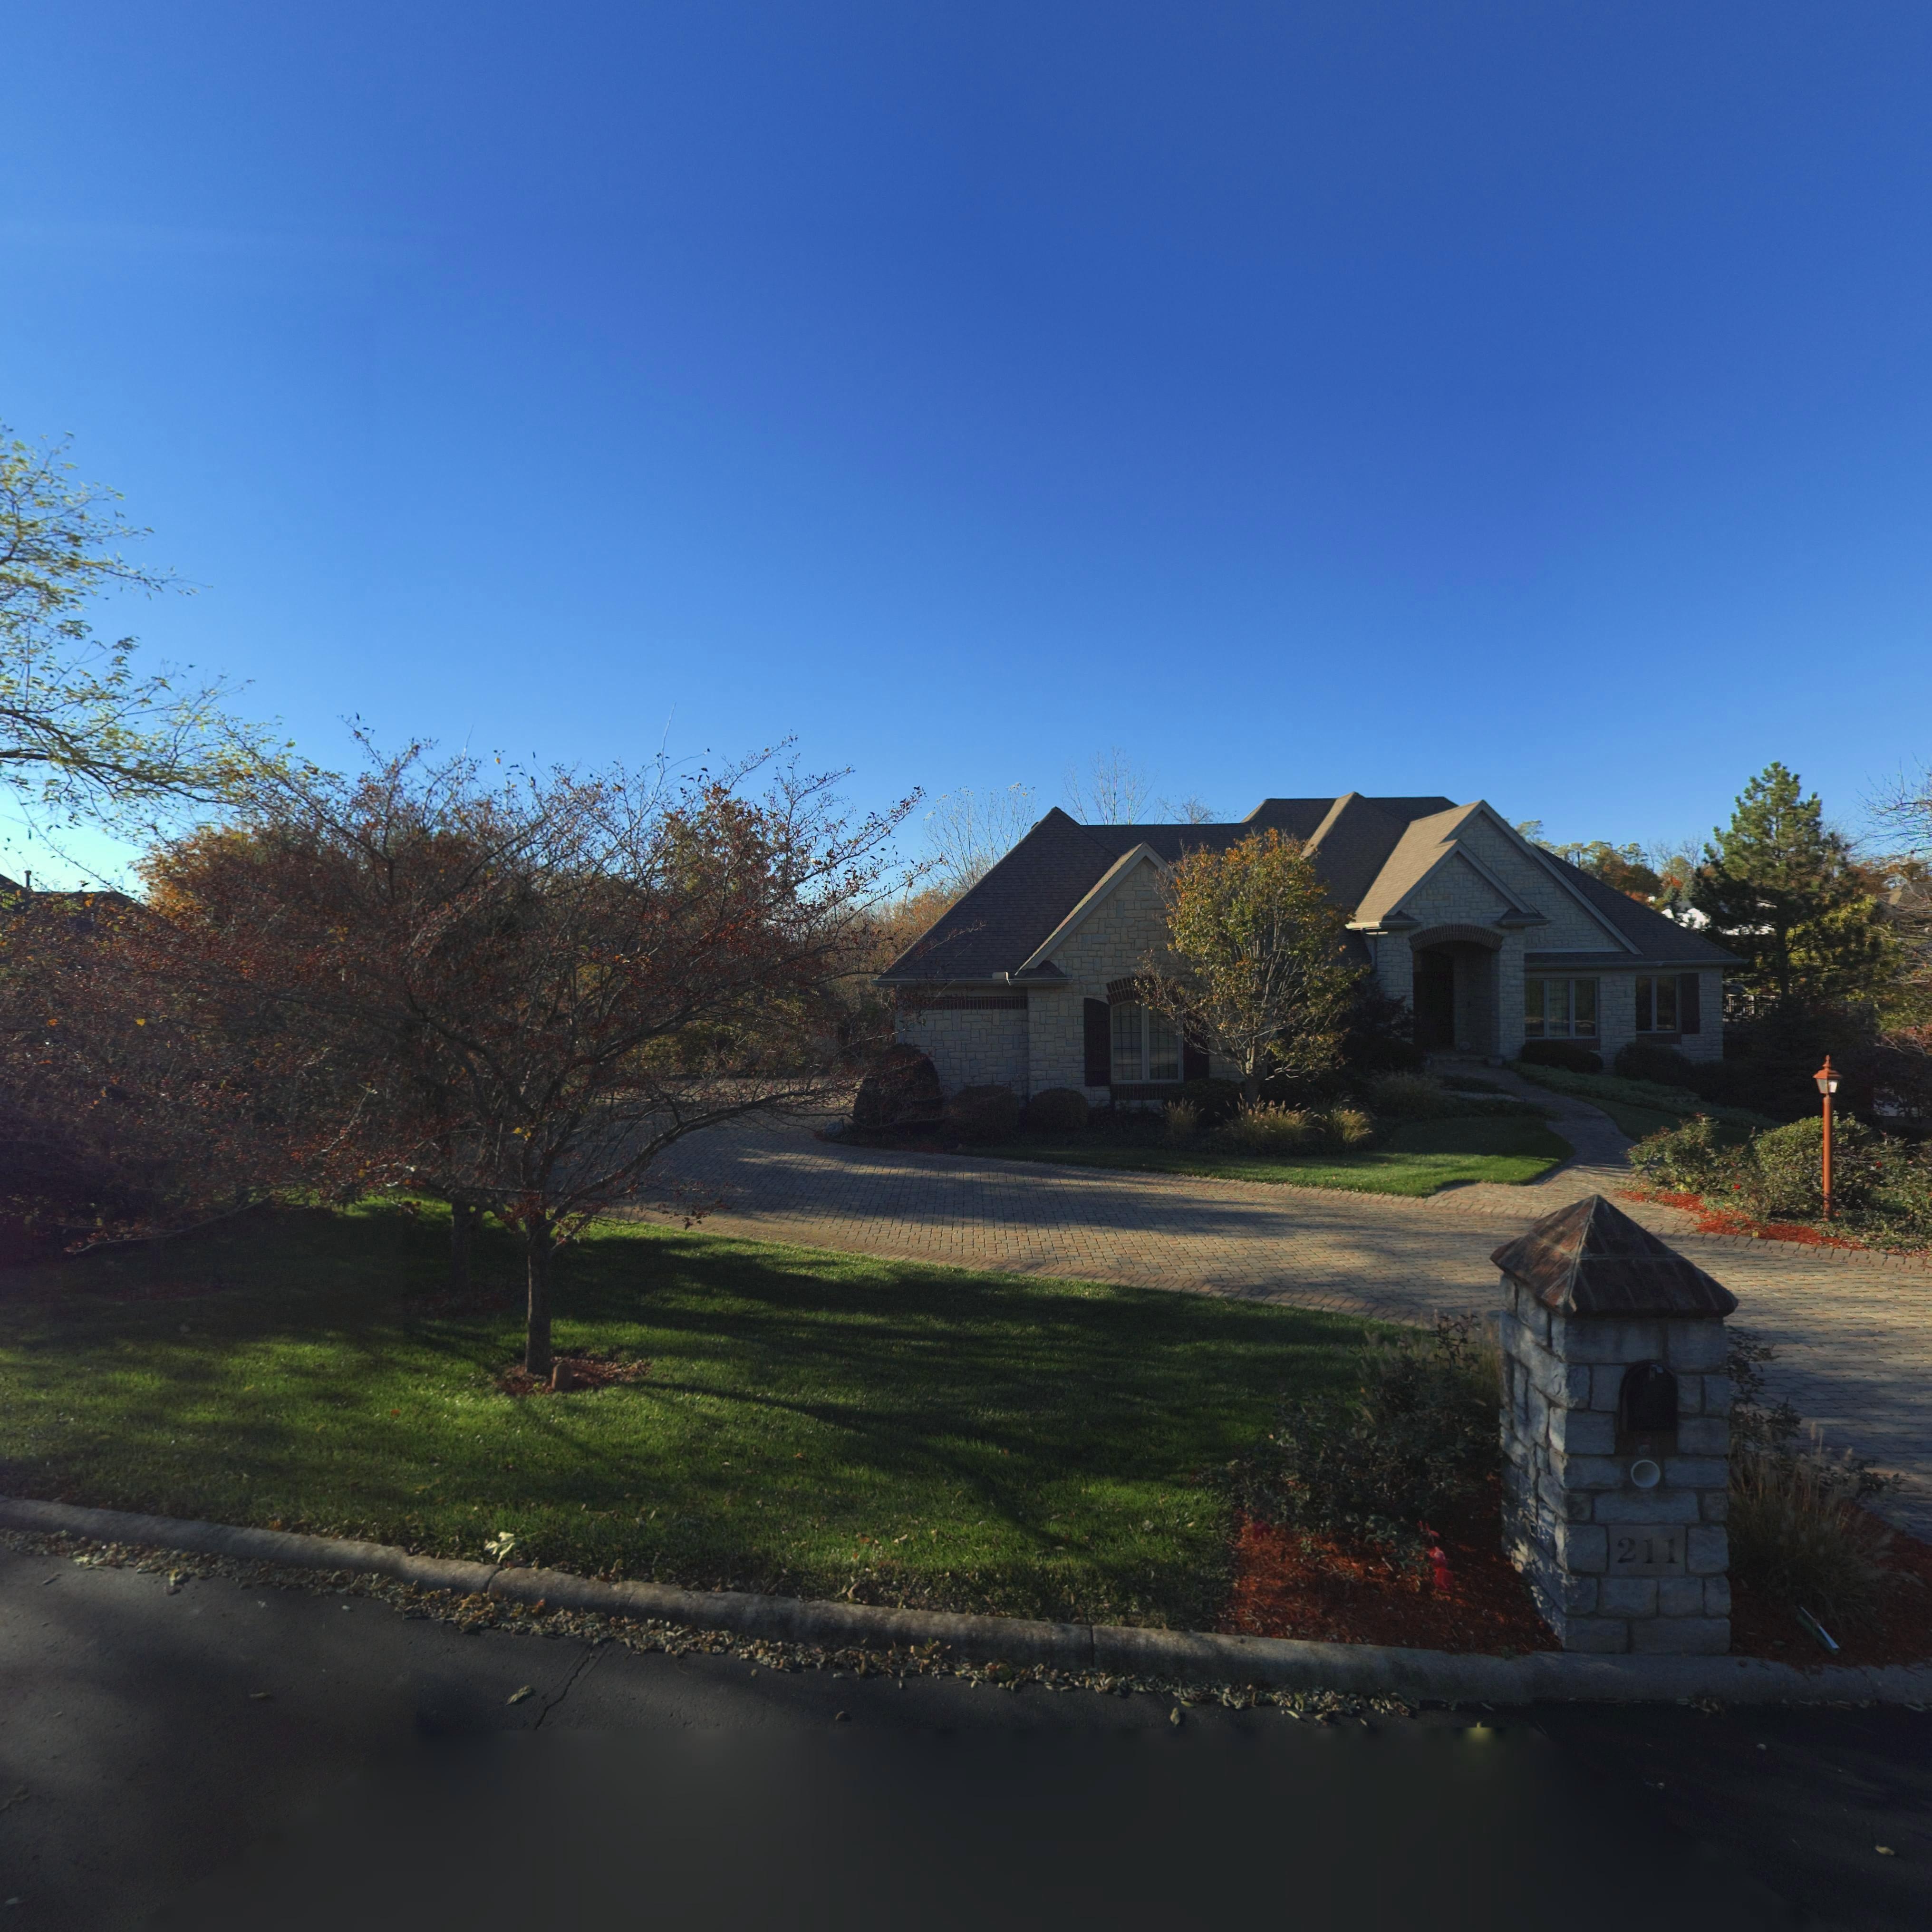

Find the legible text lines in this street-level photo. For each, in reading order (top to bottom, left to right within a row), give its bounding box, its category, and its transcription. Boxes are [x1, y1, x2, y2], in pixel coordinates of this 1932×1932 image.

[1615, 1535, 1681, 1565] StreetNumber: 211